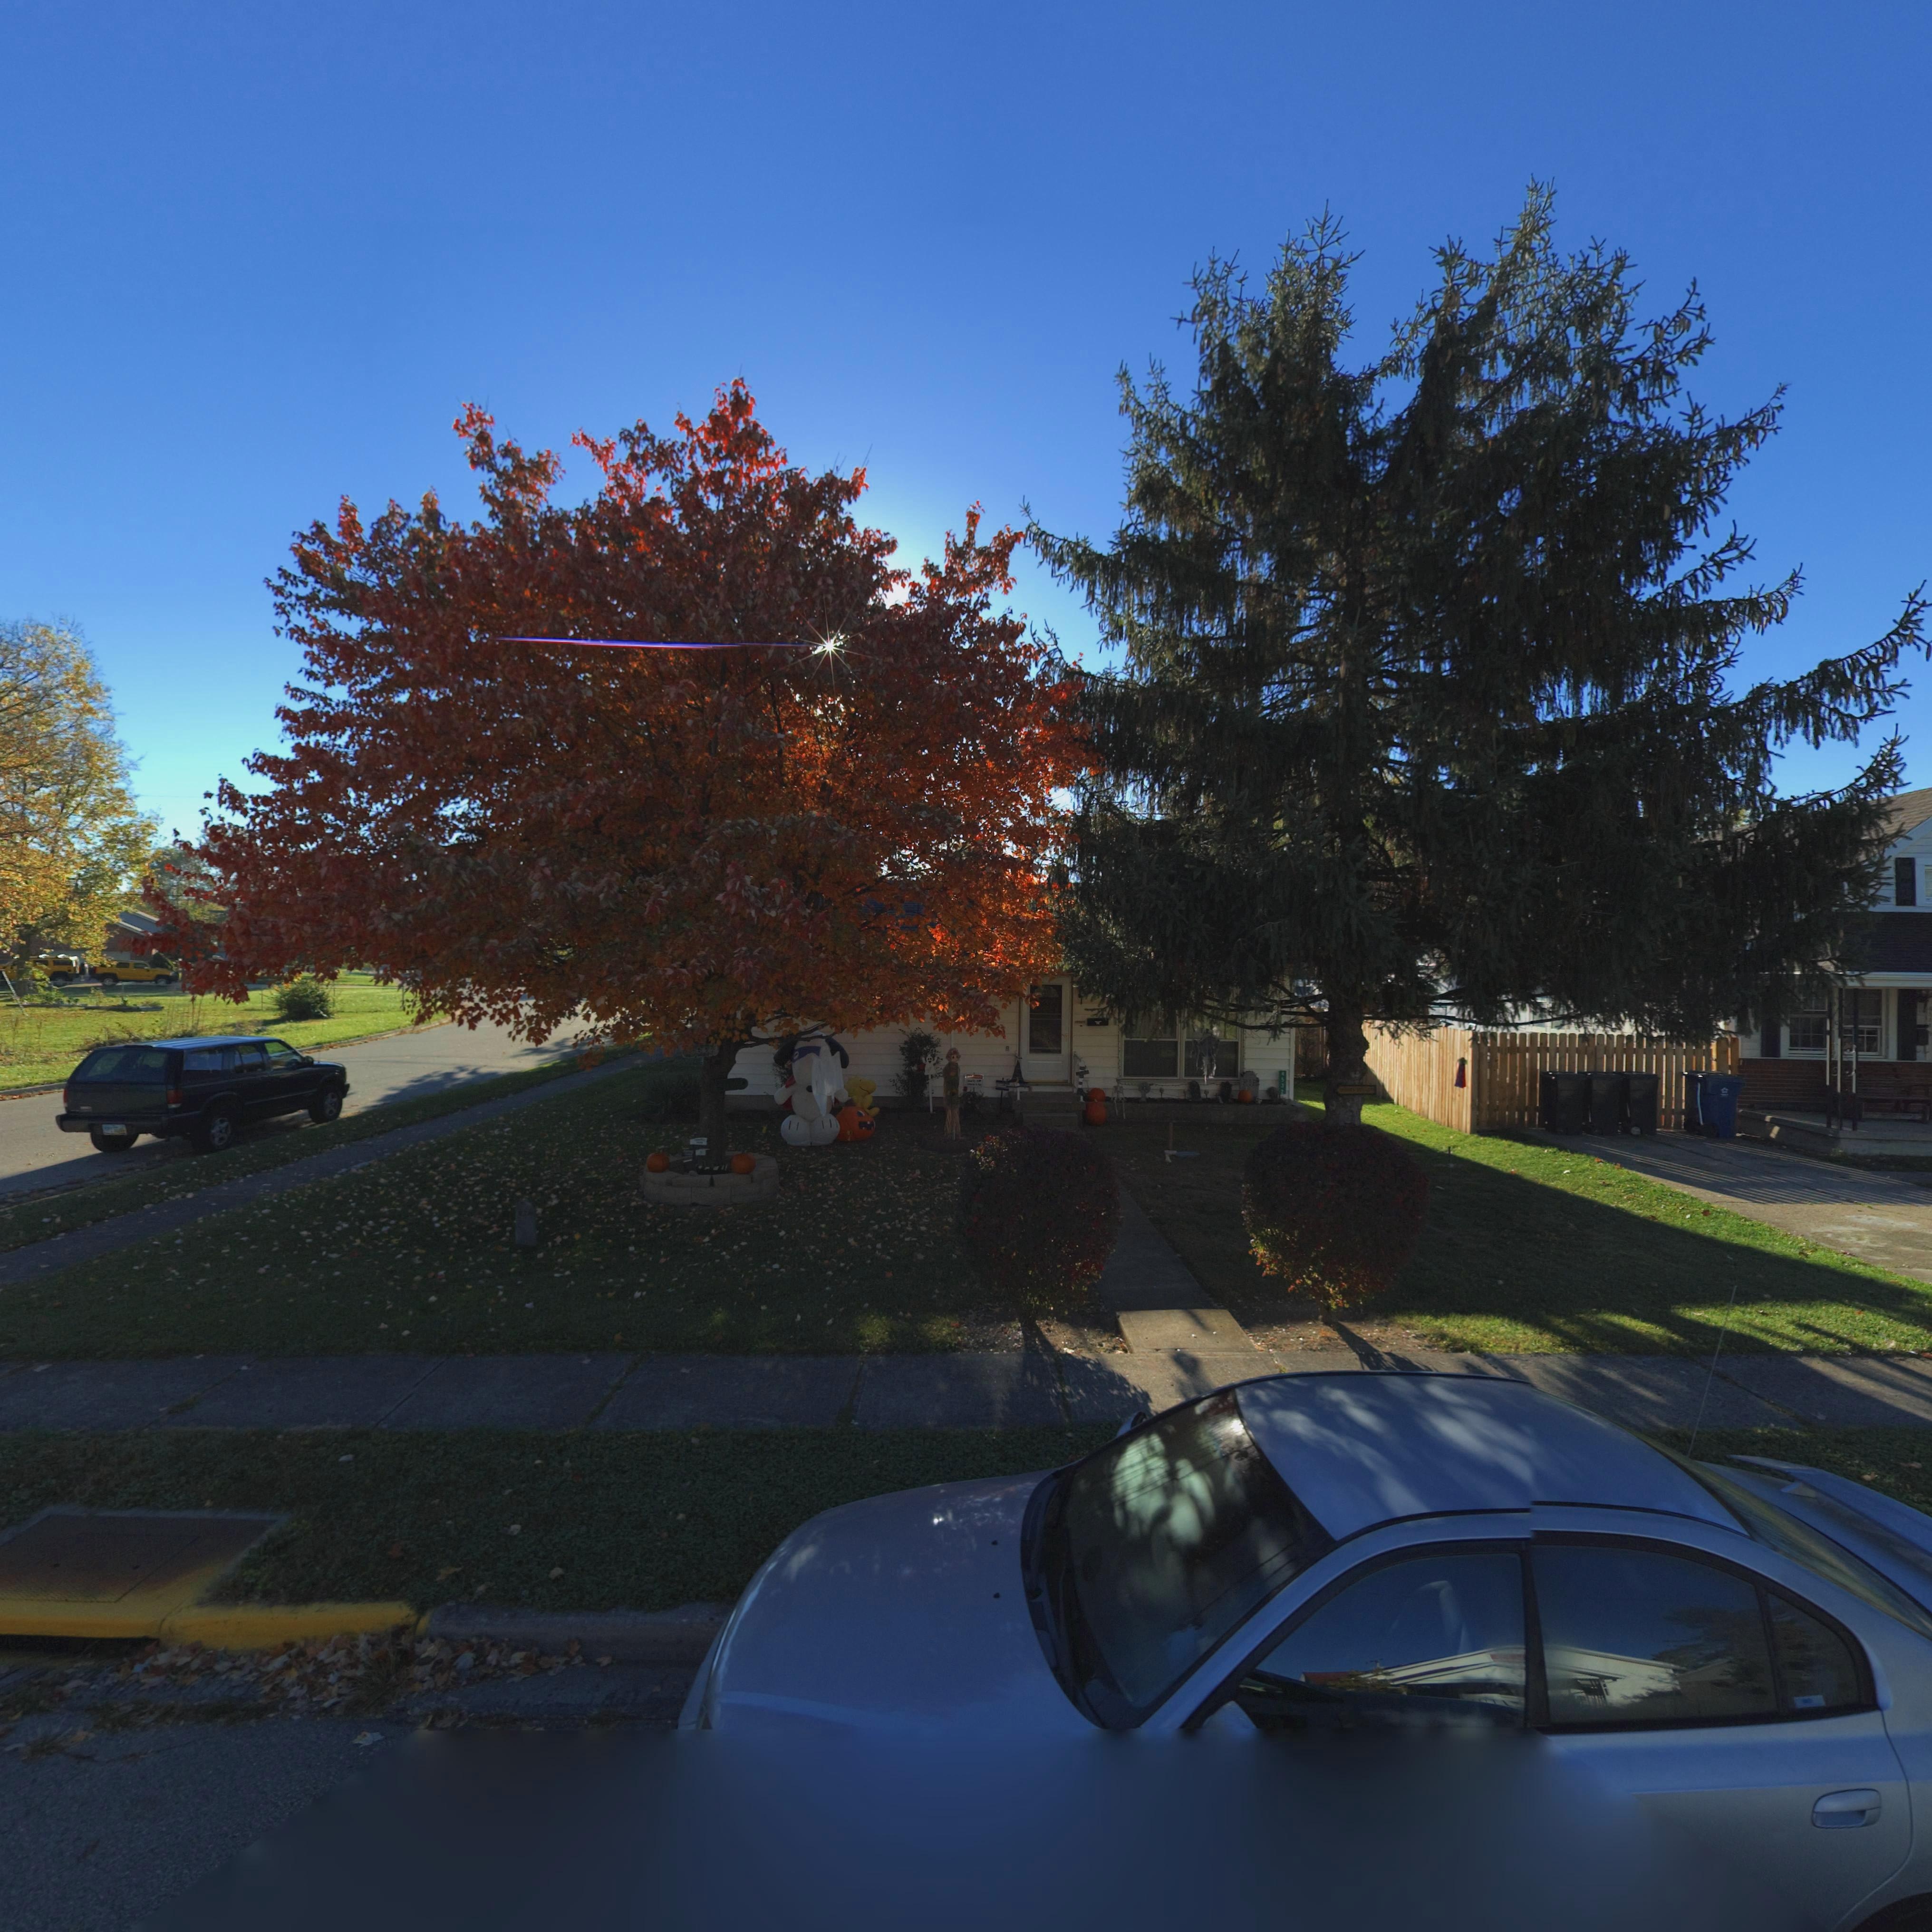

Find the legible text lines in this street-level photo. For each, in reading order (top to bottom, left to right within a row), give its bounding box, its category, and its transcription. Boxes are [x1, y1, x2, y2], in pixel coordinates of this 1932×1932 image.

[1280, 1071, 1285, 1095] StreetNumber: *532